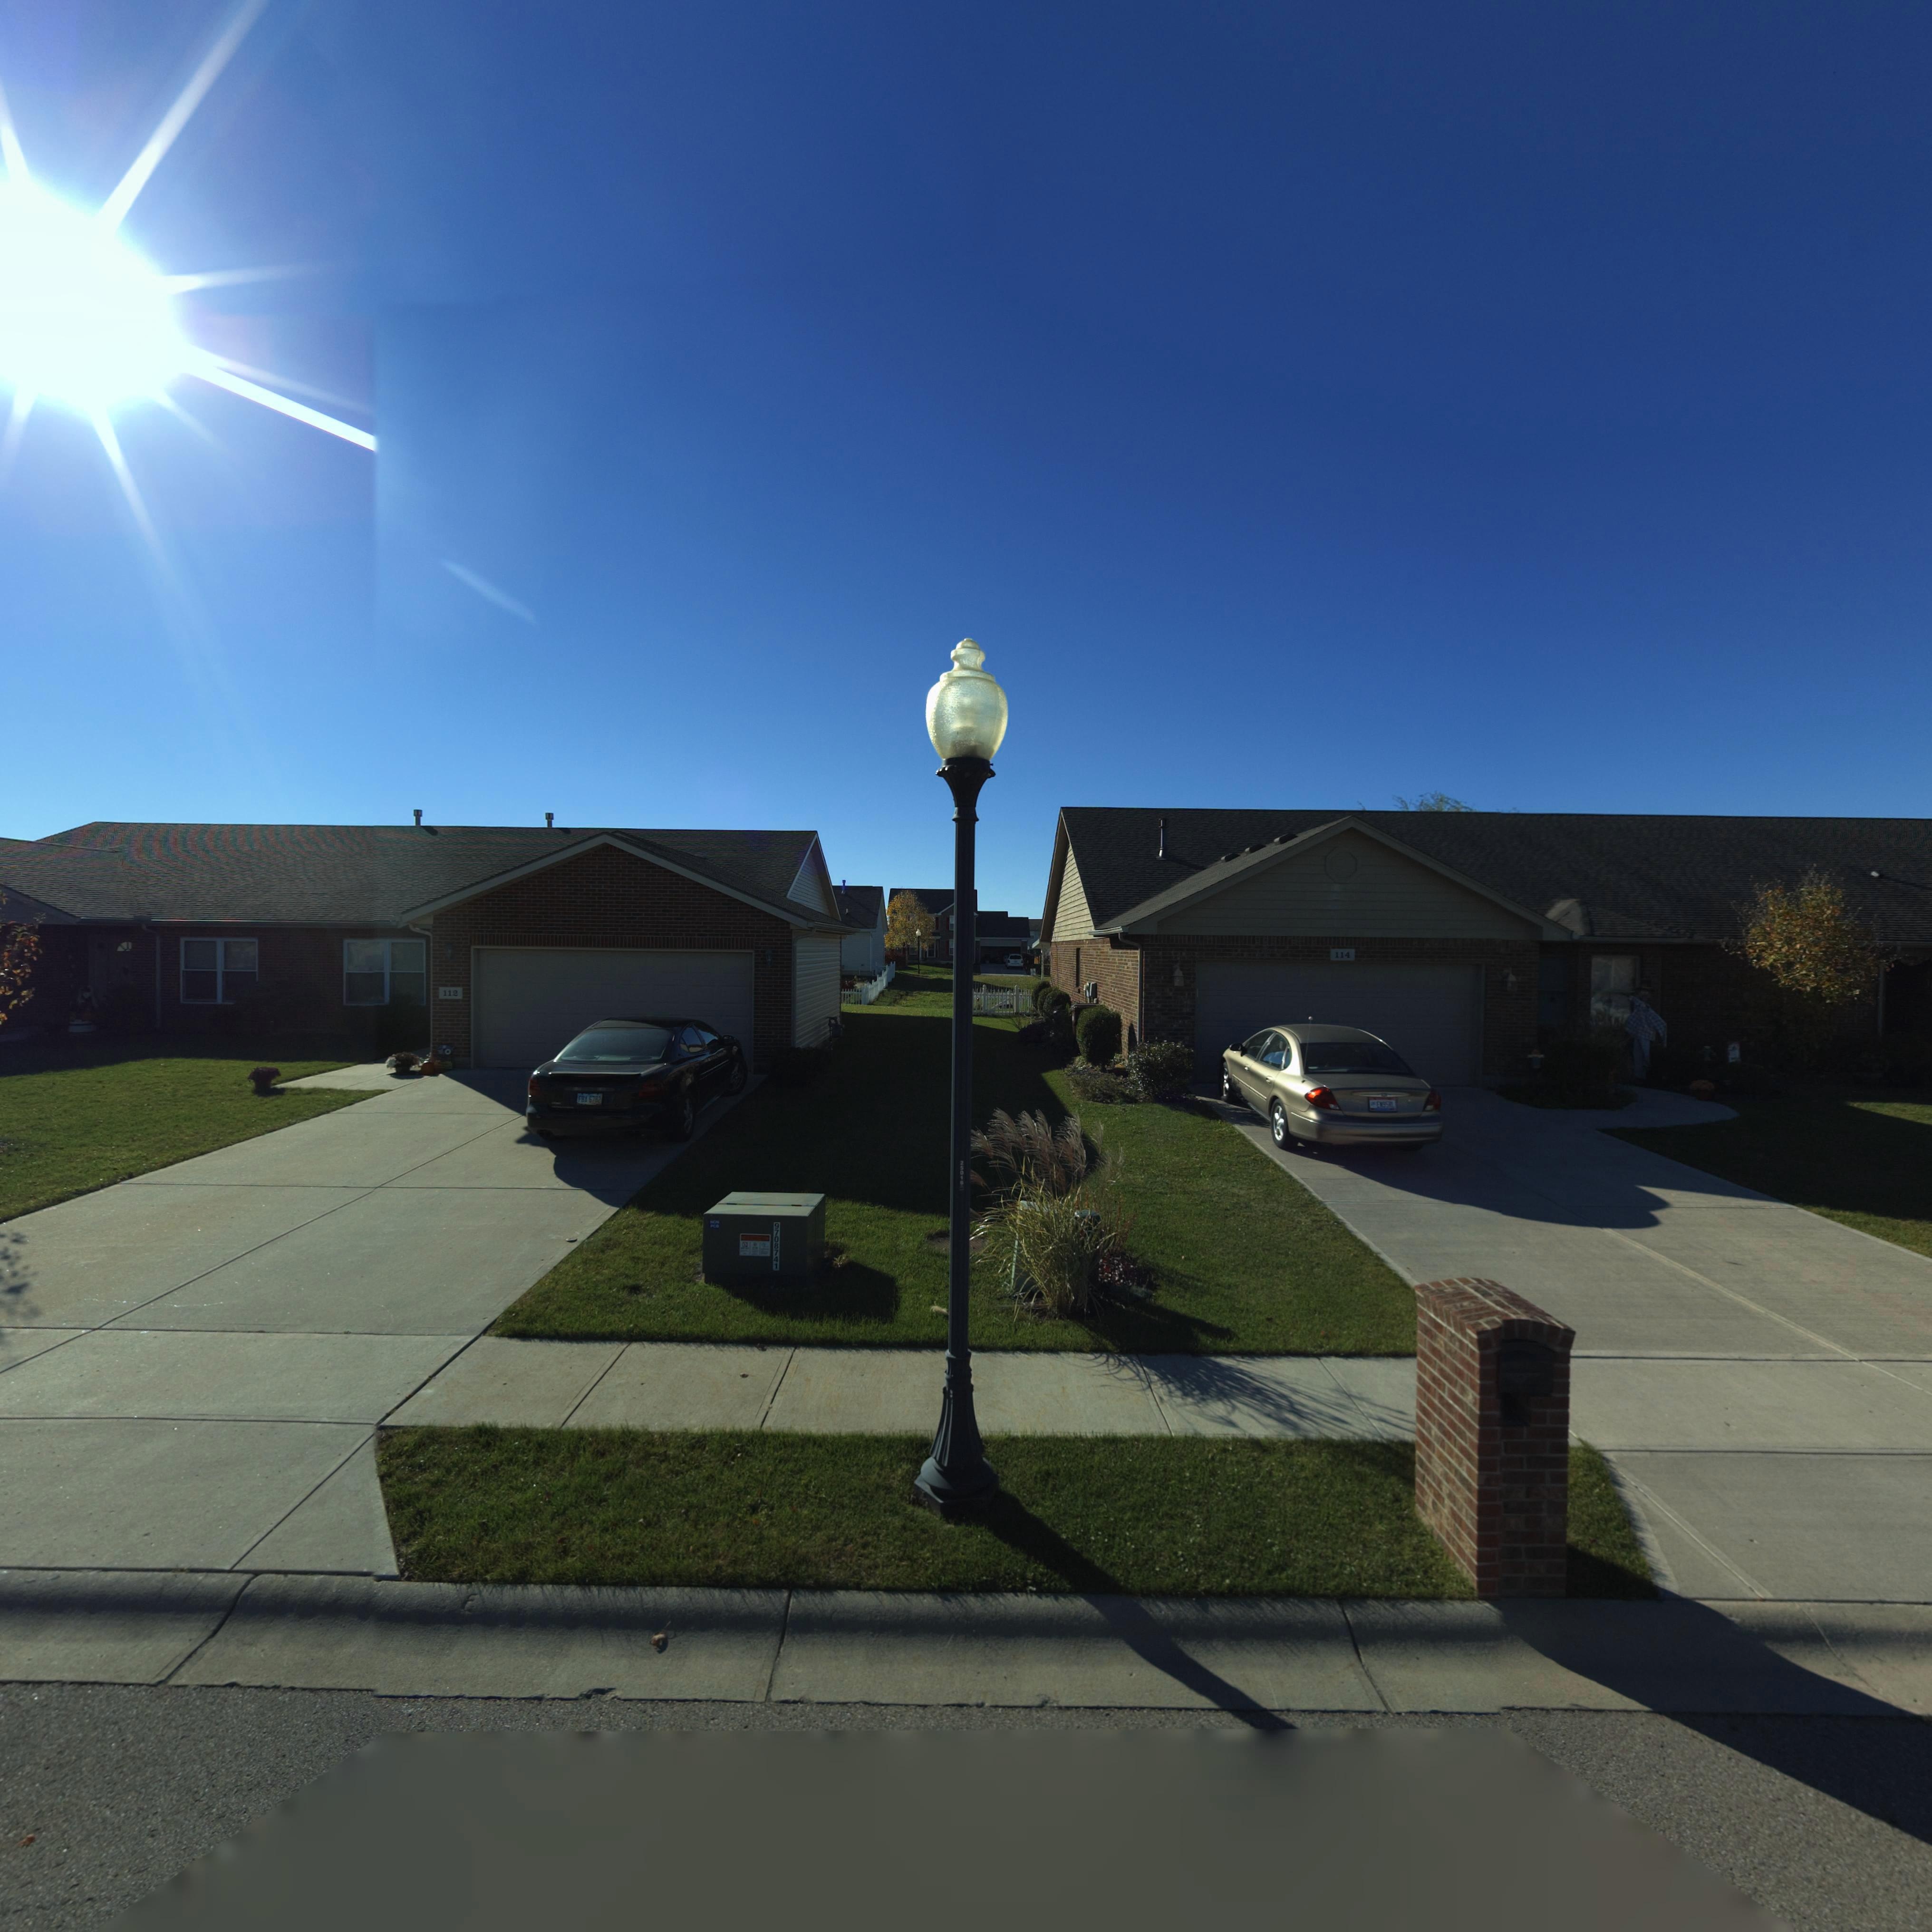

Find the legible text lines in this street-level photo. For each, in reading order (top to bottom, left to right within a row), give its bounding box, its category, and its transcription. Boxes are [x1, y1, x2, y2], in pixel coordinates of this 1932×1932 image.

[1334, 951, 1351, 959] StreetNumber: 114
[442, 989, 459, 997] StreetNumber: 112